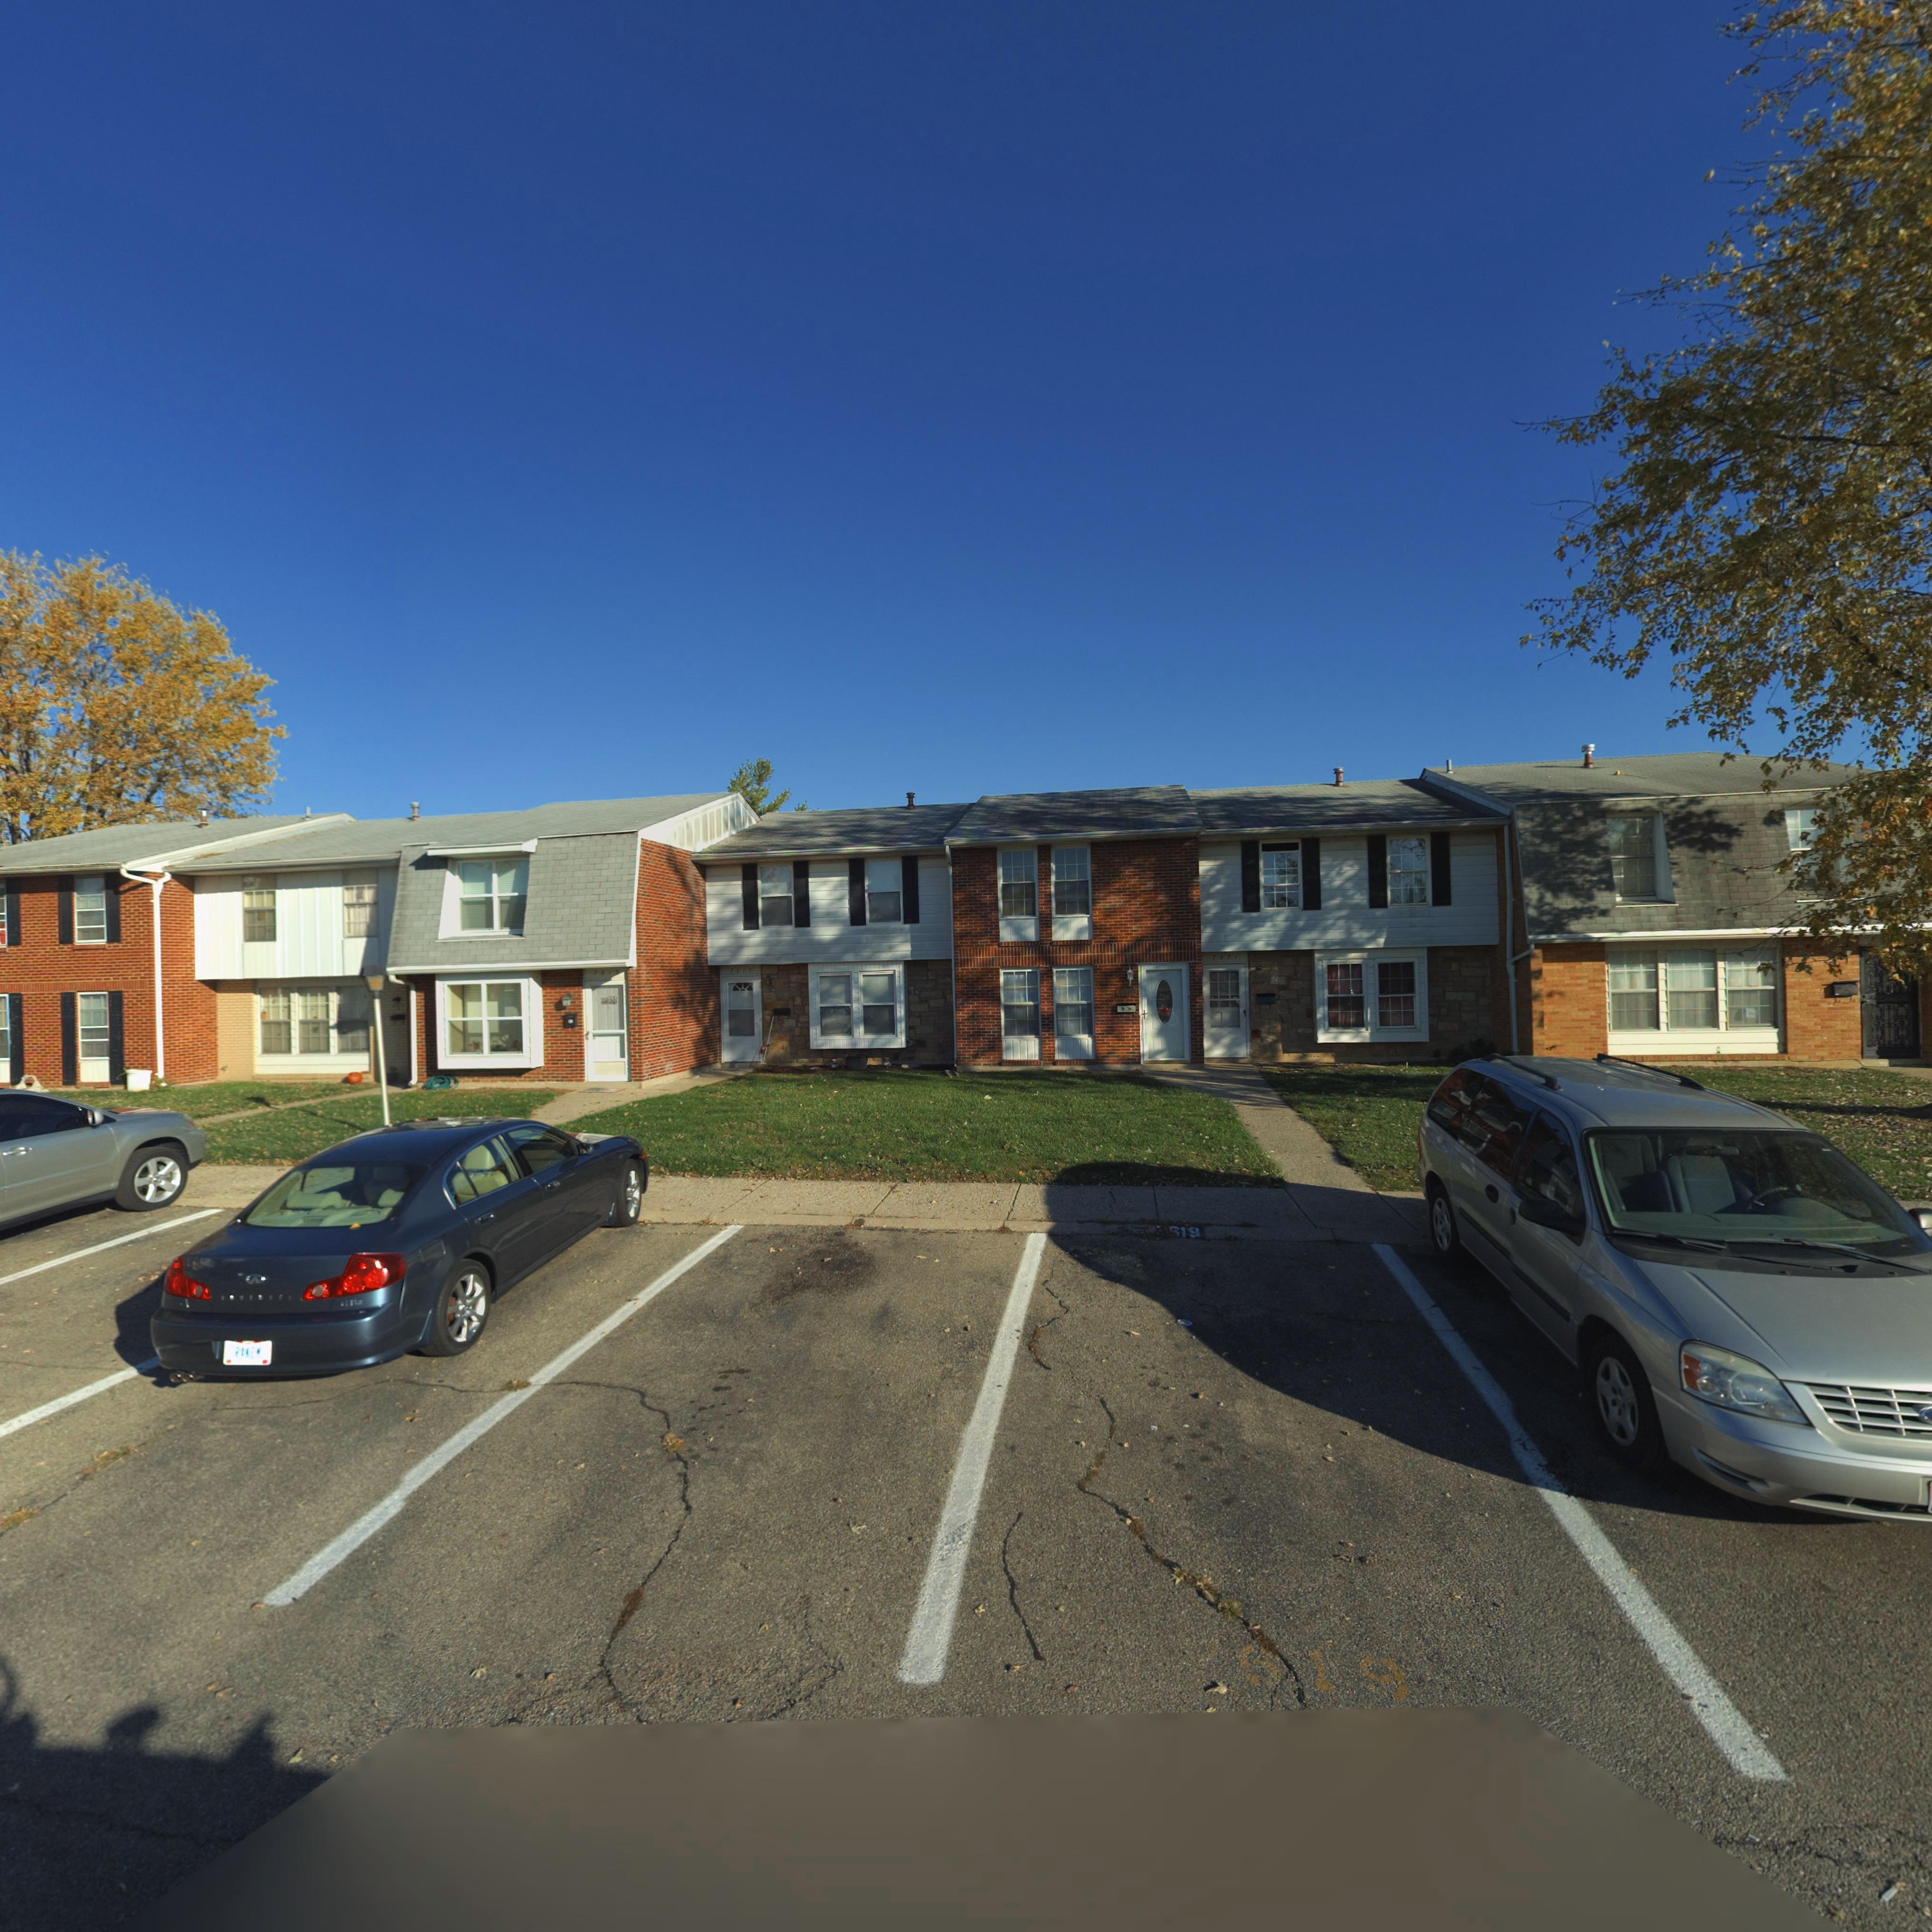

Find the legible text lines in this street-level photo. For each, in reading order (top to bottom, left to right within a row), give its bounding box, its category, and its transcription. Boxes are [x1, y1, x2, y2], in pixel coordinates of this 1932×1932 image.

[1211, 954, 1238, 961] StreetNumber: 7621
[592, 968, 619, 976] StreetNumber: 7615
[729, 967, 753, 974] StreetNumber: 7617
[1117, 988, 1135, 997] StreetNumber: 7619
[1179, 1226, 1201, 1238] StreetNumber: 19